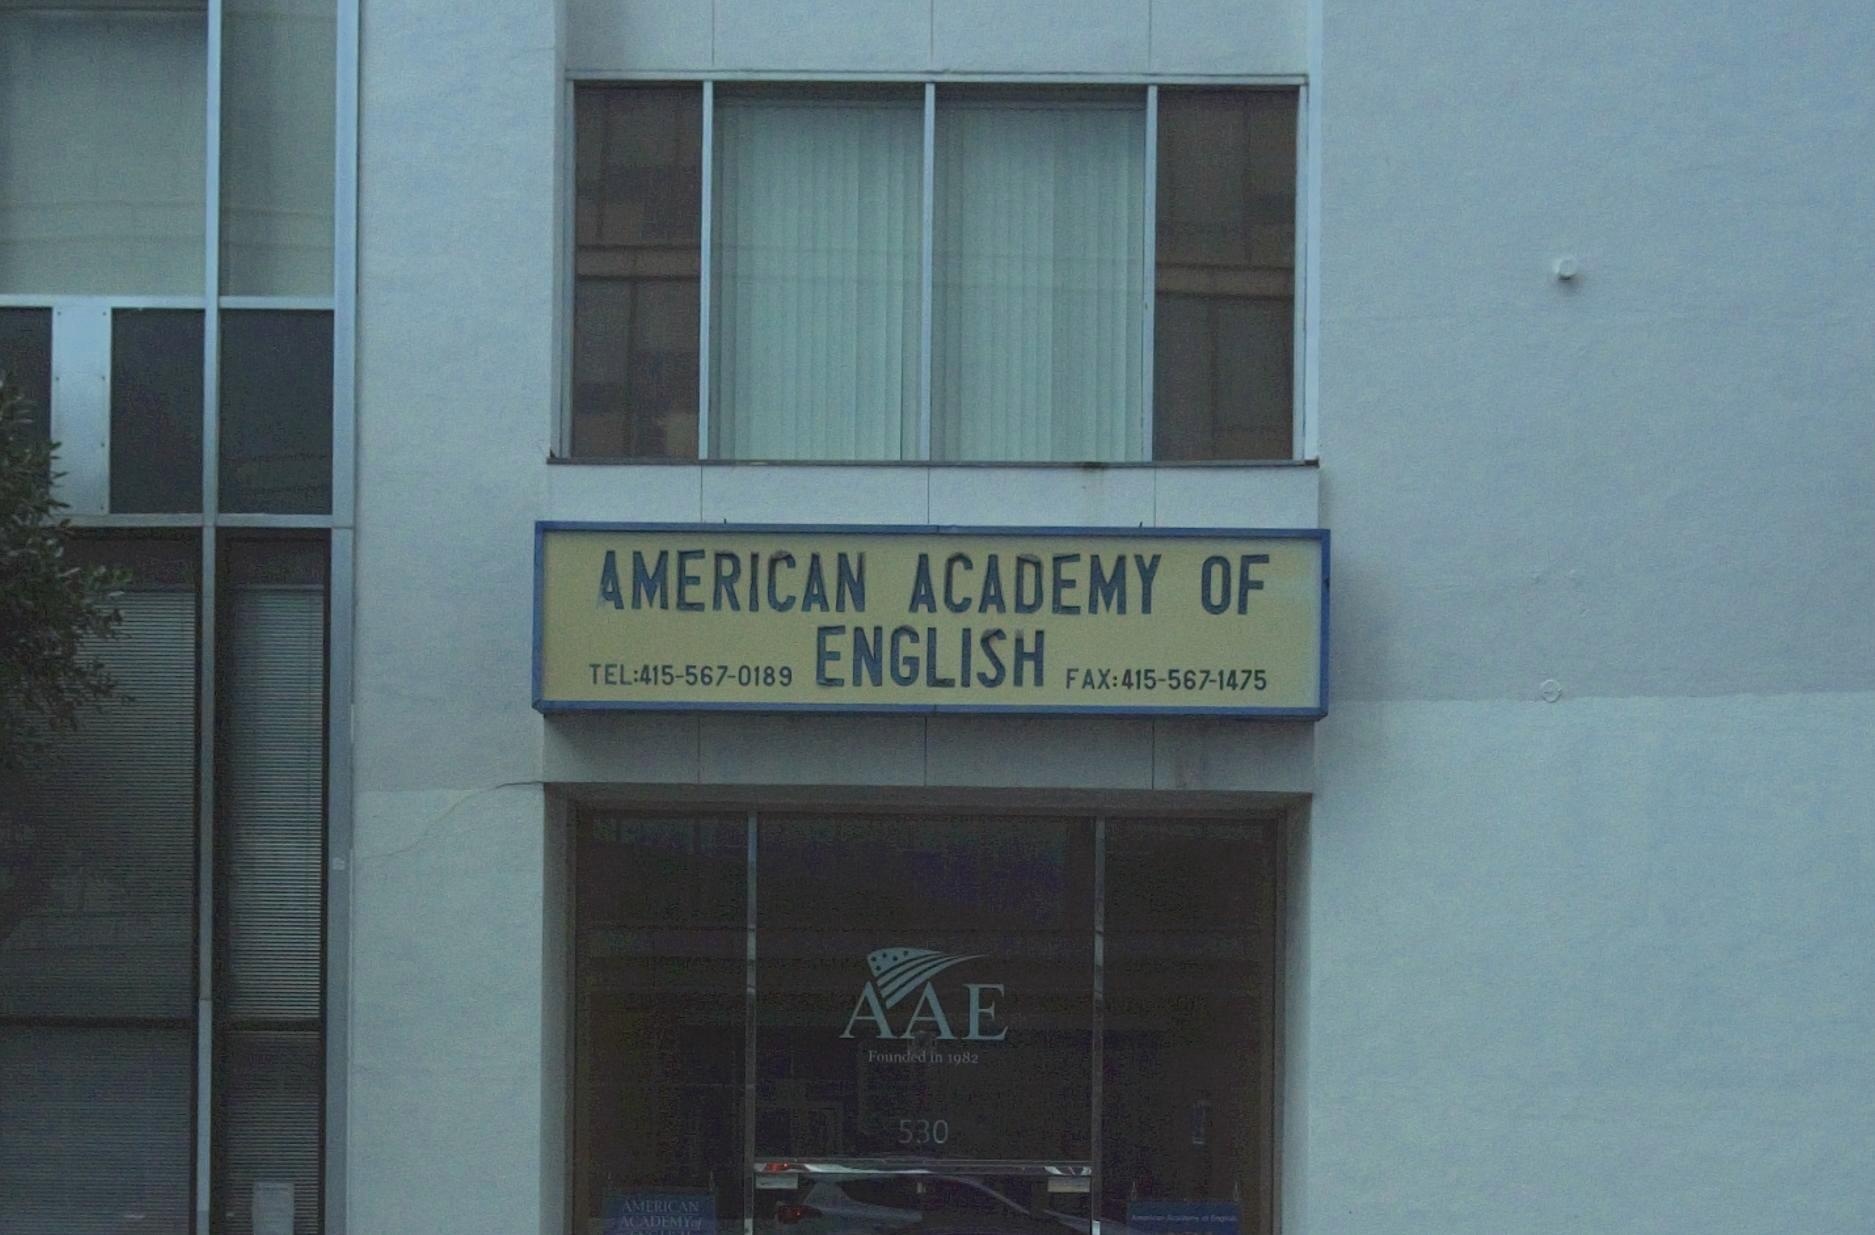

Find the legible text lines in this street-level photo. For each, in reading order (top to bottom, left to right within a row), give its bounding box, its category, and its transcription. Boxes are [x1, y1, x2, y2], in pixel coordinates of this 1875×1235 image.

[587, 546, 1276, 618] BusinessName: AMERICAN ACADEMY OF
[812, 622, 1050, 691] BusinessName: ENGLISH
[582, 661, 795, 689] None: TEL:415-567-0189
[1063, 665, 1269, 692] None: FAX:415-567-1475
[833, 977, 1011, 1044] BusinessName: AAE
[866, 1048, 980, 1068] None: Founded in 1982
[895, 1116, 953, 1148] StreetNumber: 530
[617, 1198, 701, 1215] None: AMERICAN
[614, 1214, 707, 1233] None: ACADEMY of